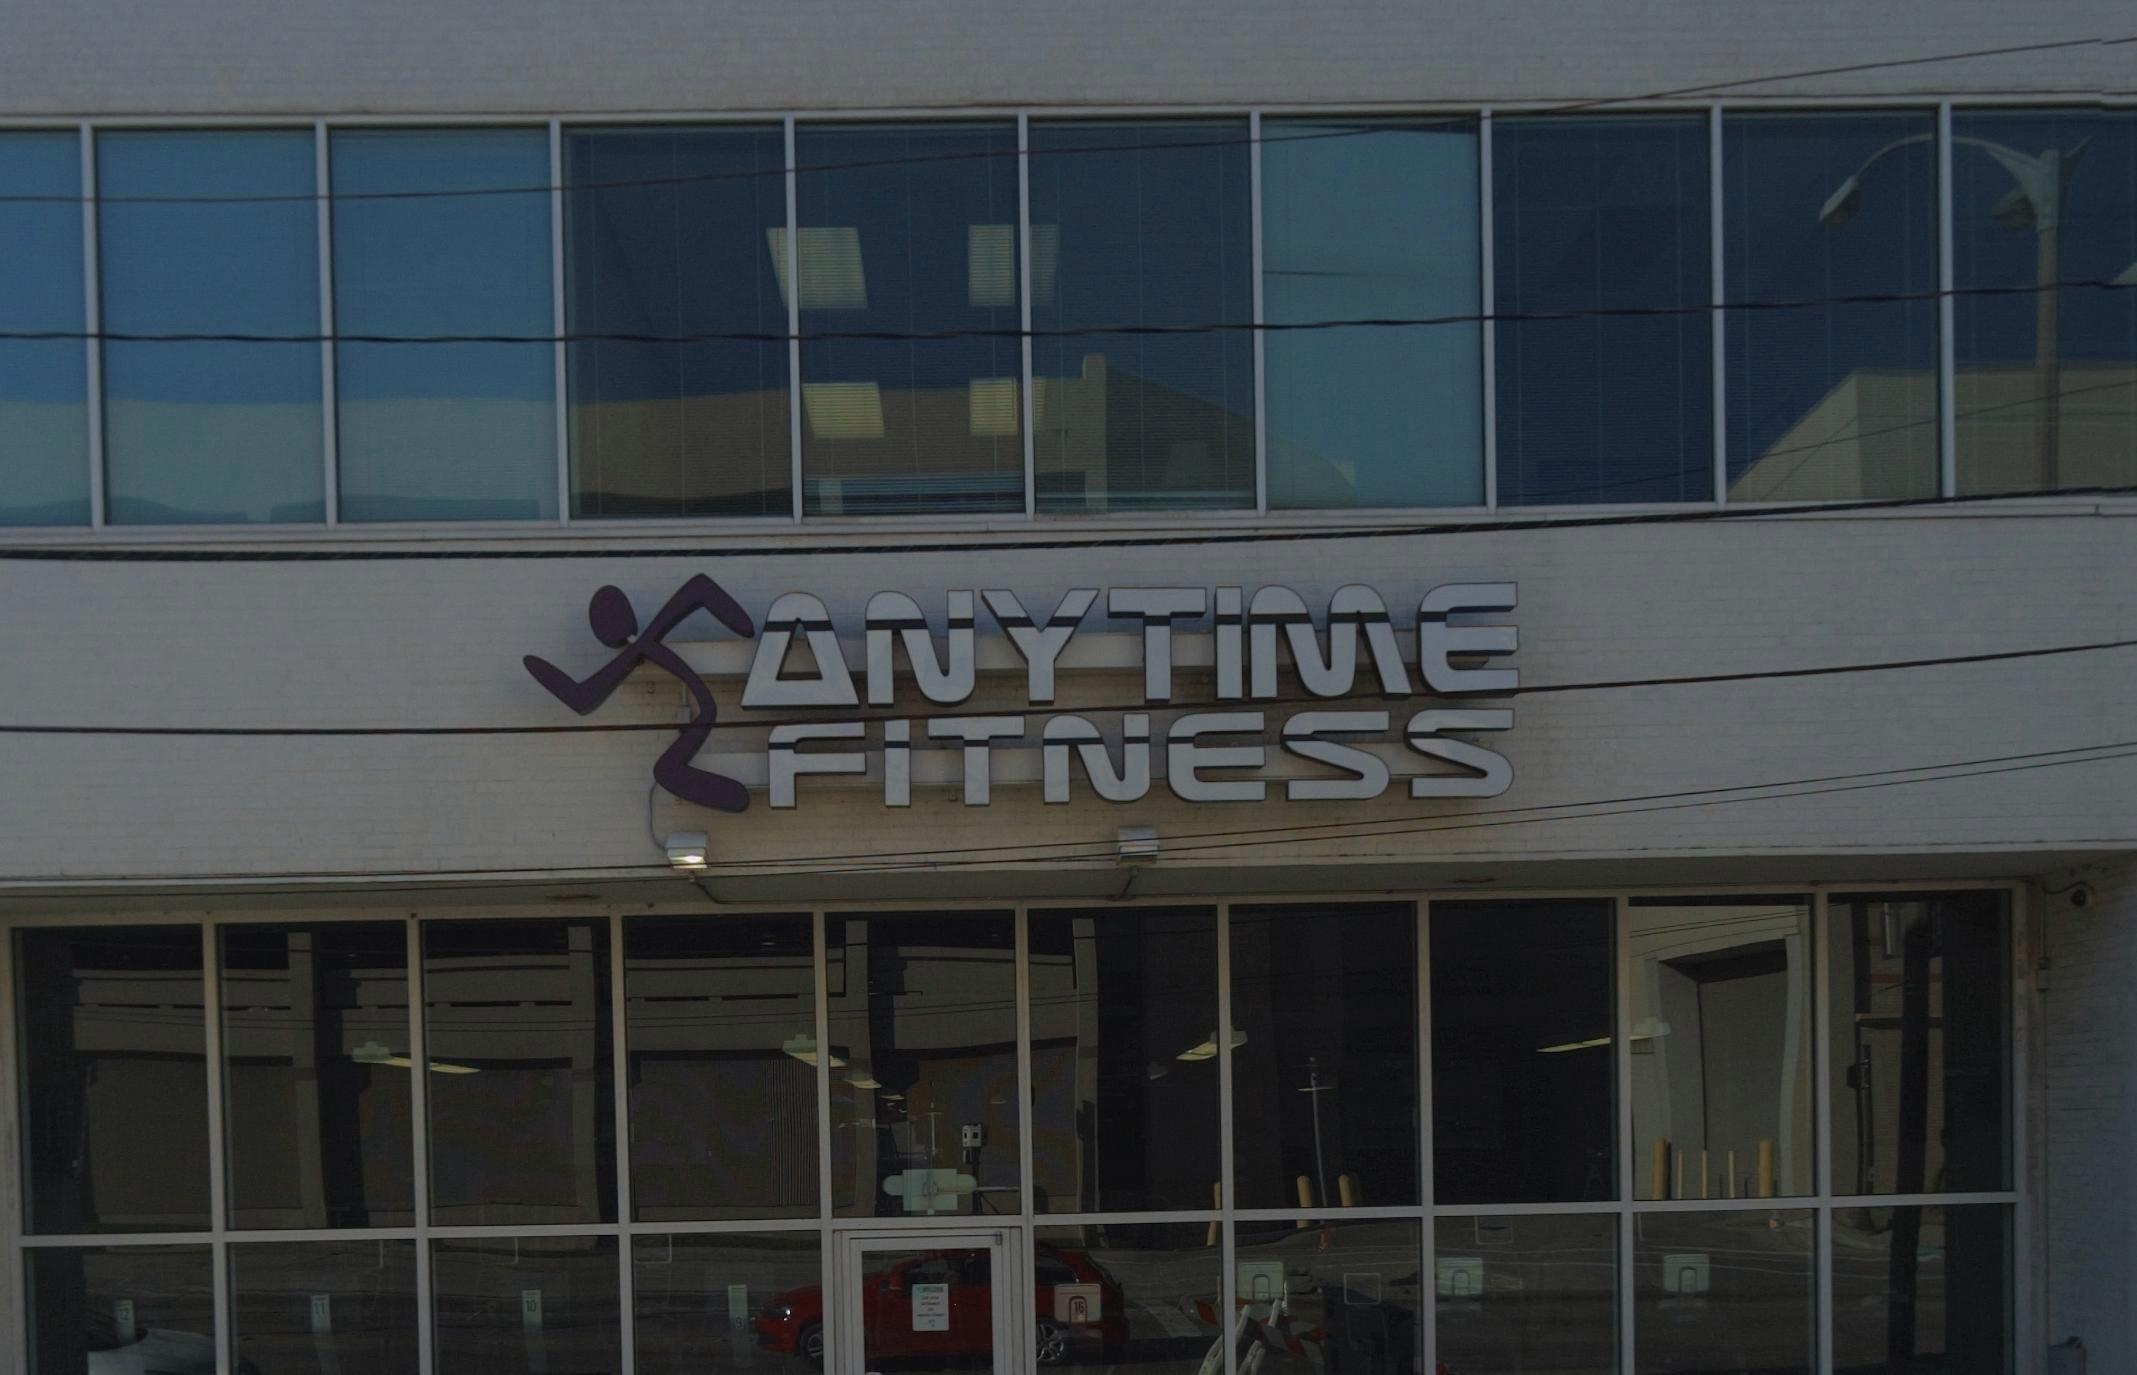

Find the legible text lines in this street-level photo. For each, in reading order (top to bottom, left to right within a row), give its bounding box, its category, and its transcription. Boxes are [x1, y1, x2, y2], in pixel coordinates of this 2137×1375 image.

[725, 576, 1525, 717] BusinessName: ANYTIME
[761, 702, 1522, 818] BusinessName: FITNESS